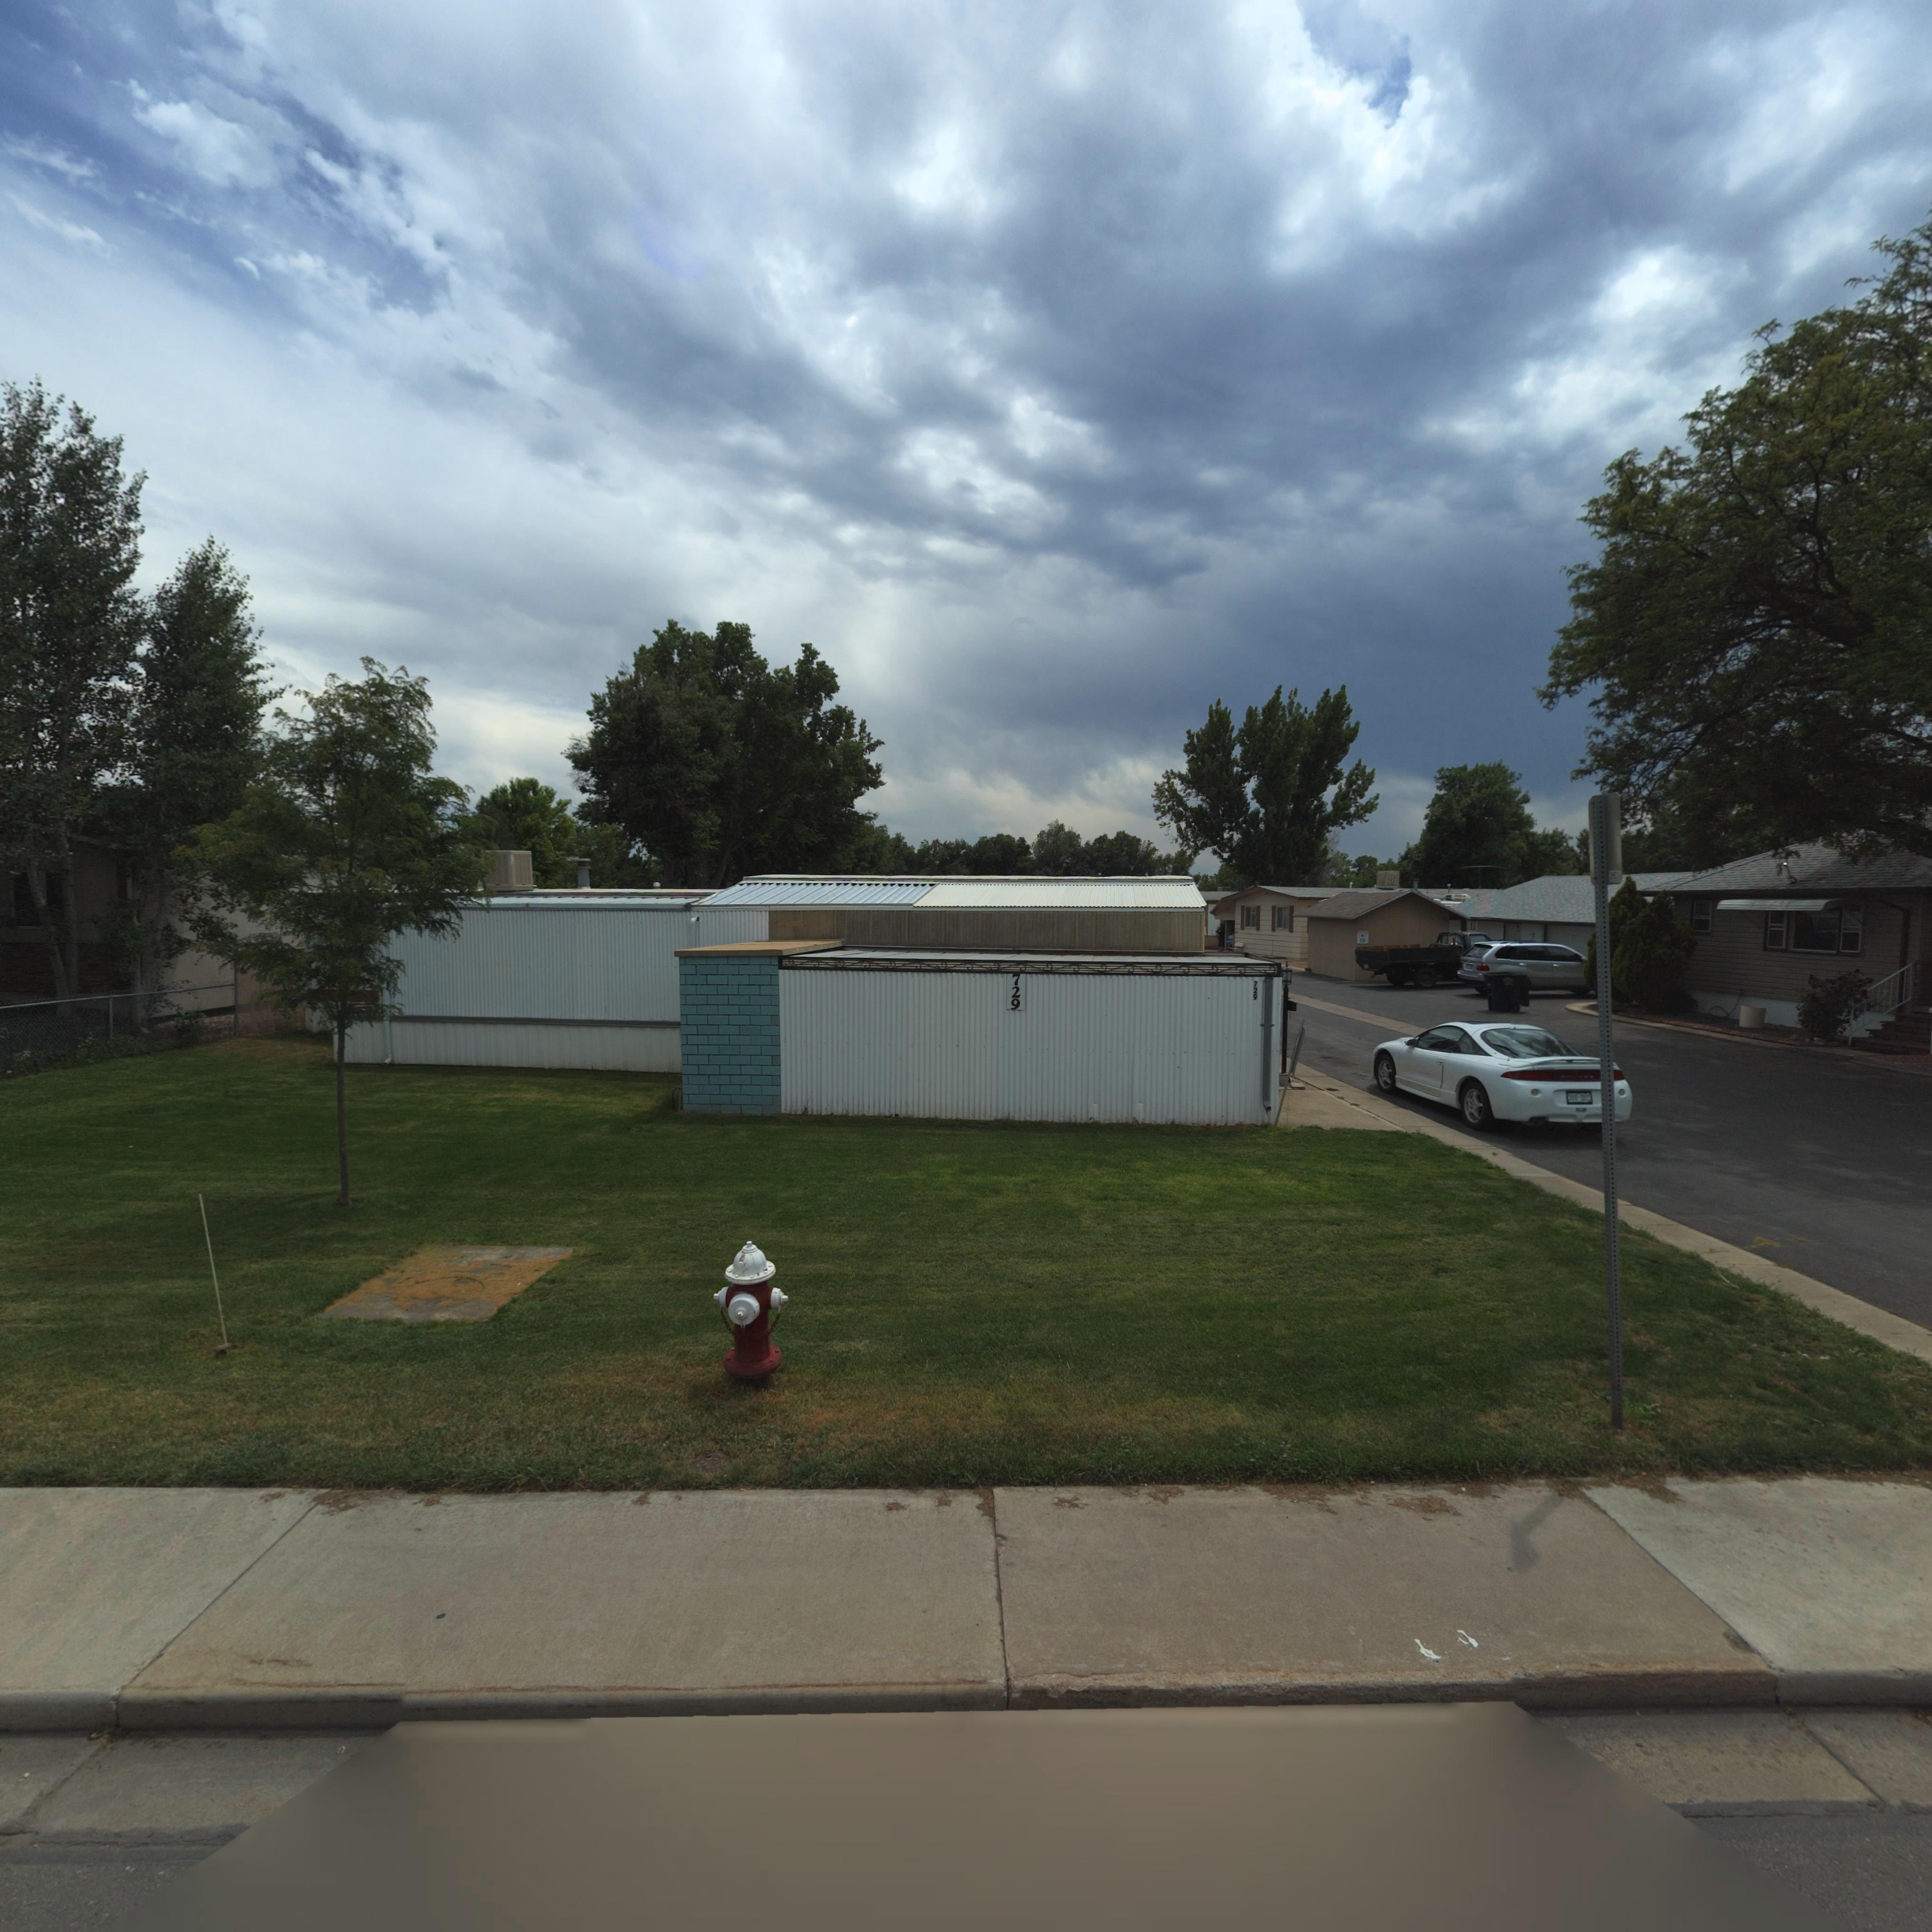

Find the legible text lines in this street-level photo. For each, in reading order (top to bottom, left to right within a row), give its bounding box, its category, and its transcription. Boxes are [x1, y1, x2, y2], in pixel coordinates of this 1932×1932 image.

[1010, 971, 1021, 1011] StreetNumber: 729
[1253, 980, 1257, 1001] StreetNumber: 729